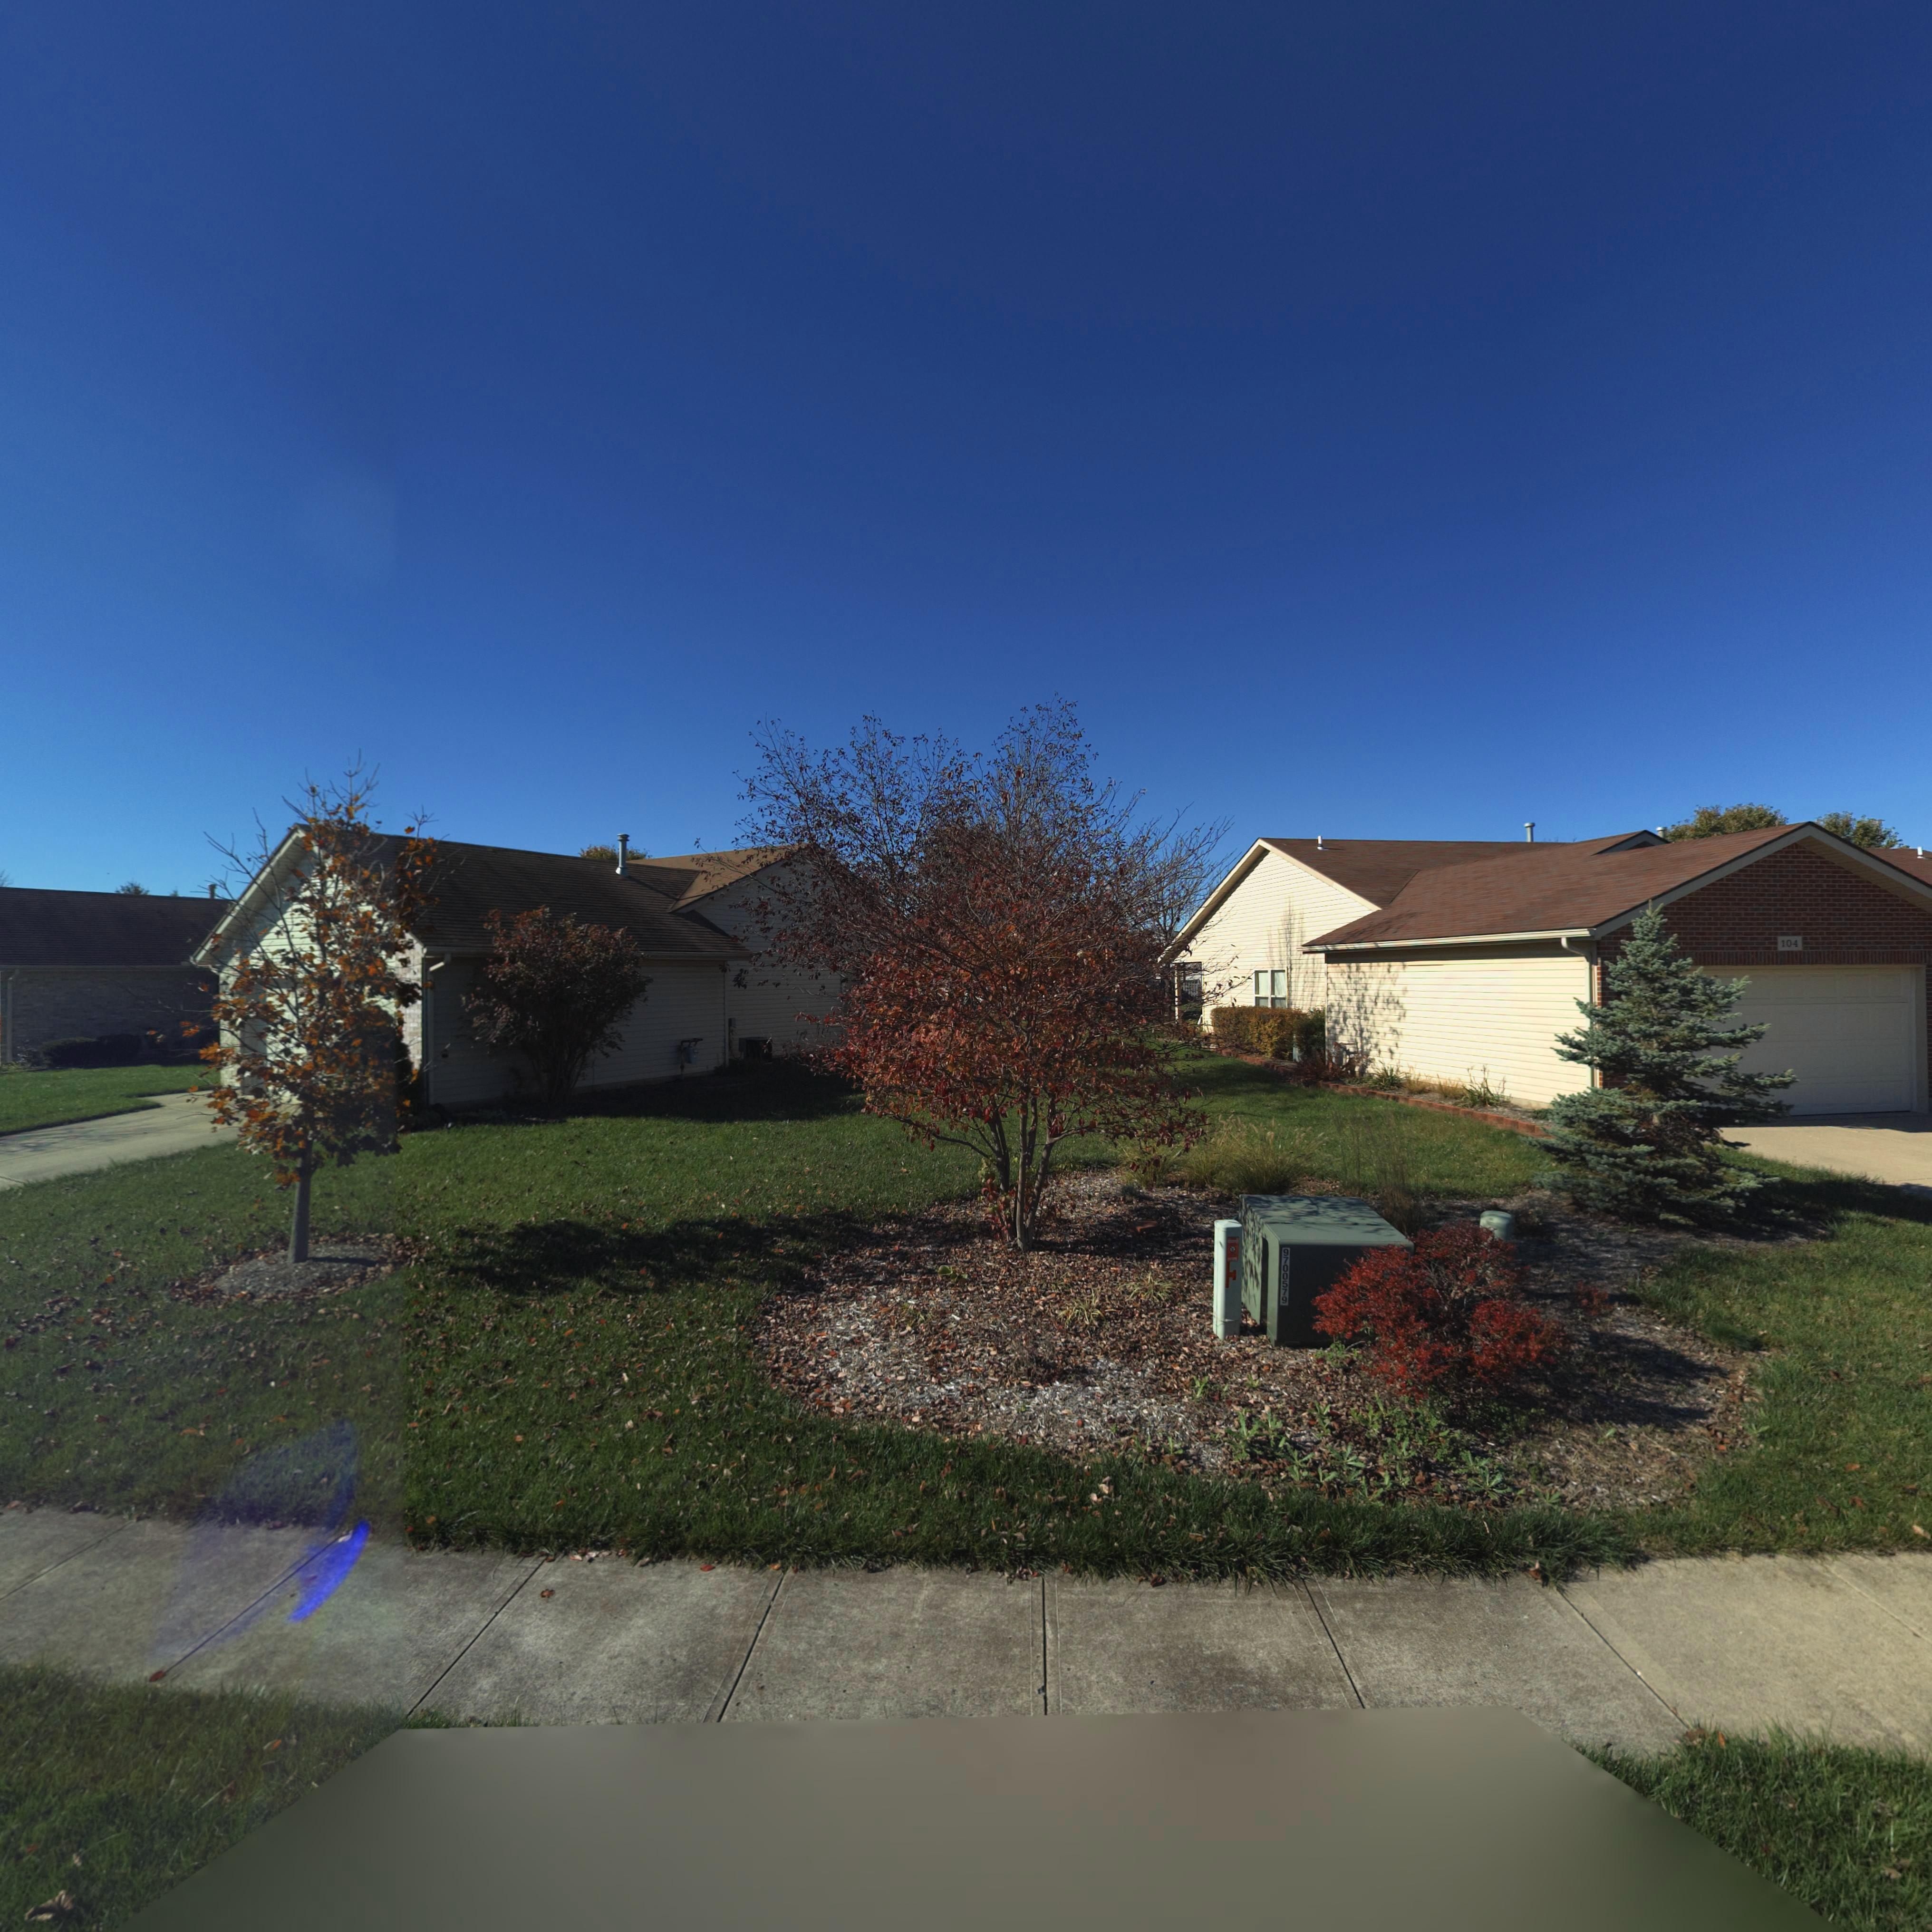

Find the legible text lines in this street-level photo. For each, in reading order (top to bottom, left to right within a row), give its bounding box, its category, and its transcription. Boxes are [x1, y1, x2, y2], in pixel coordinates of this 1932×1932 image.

[1781, 939, 1798, 948] StreetNumber: 104